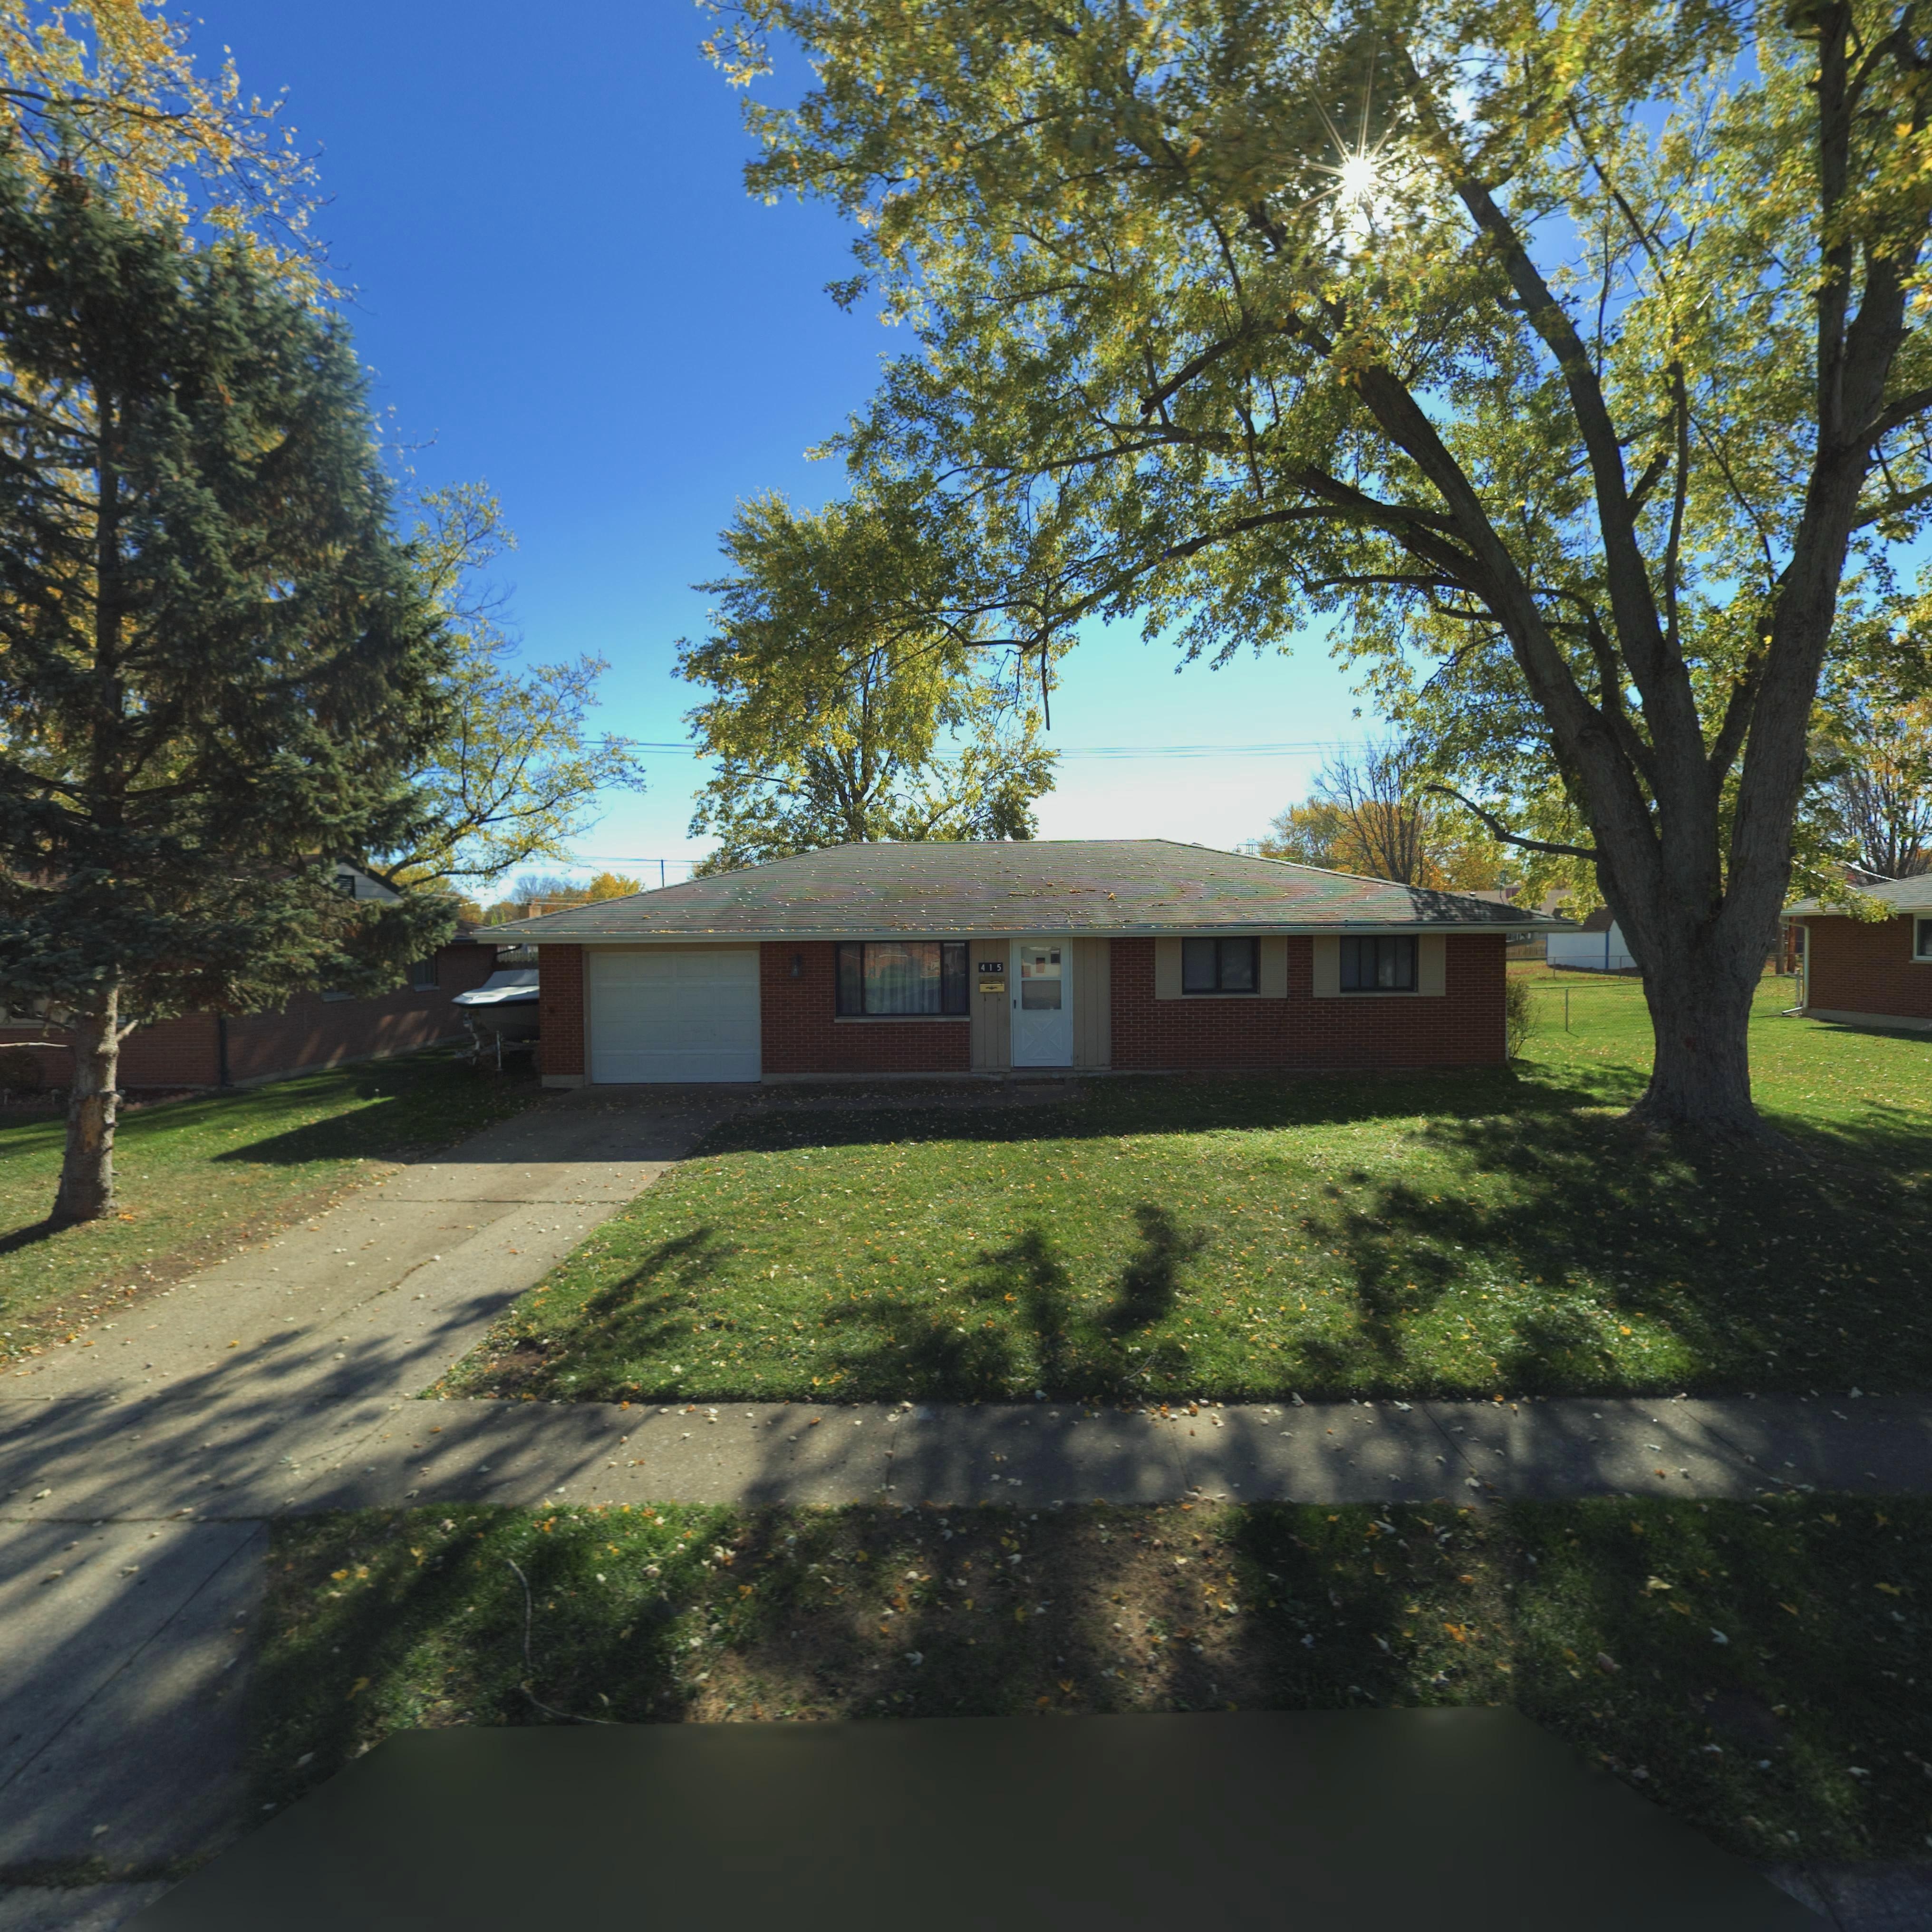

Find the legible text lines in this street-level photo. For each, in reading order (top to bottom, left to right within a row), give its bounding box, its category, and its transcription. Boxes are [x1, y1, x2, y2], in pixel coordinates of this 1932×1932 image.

[980, 963, 1002, 972] StreetNumber: 415